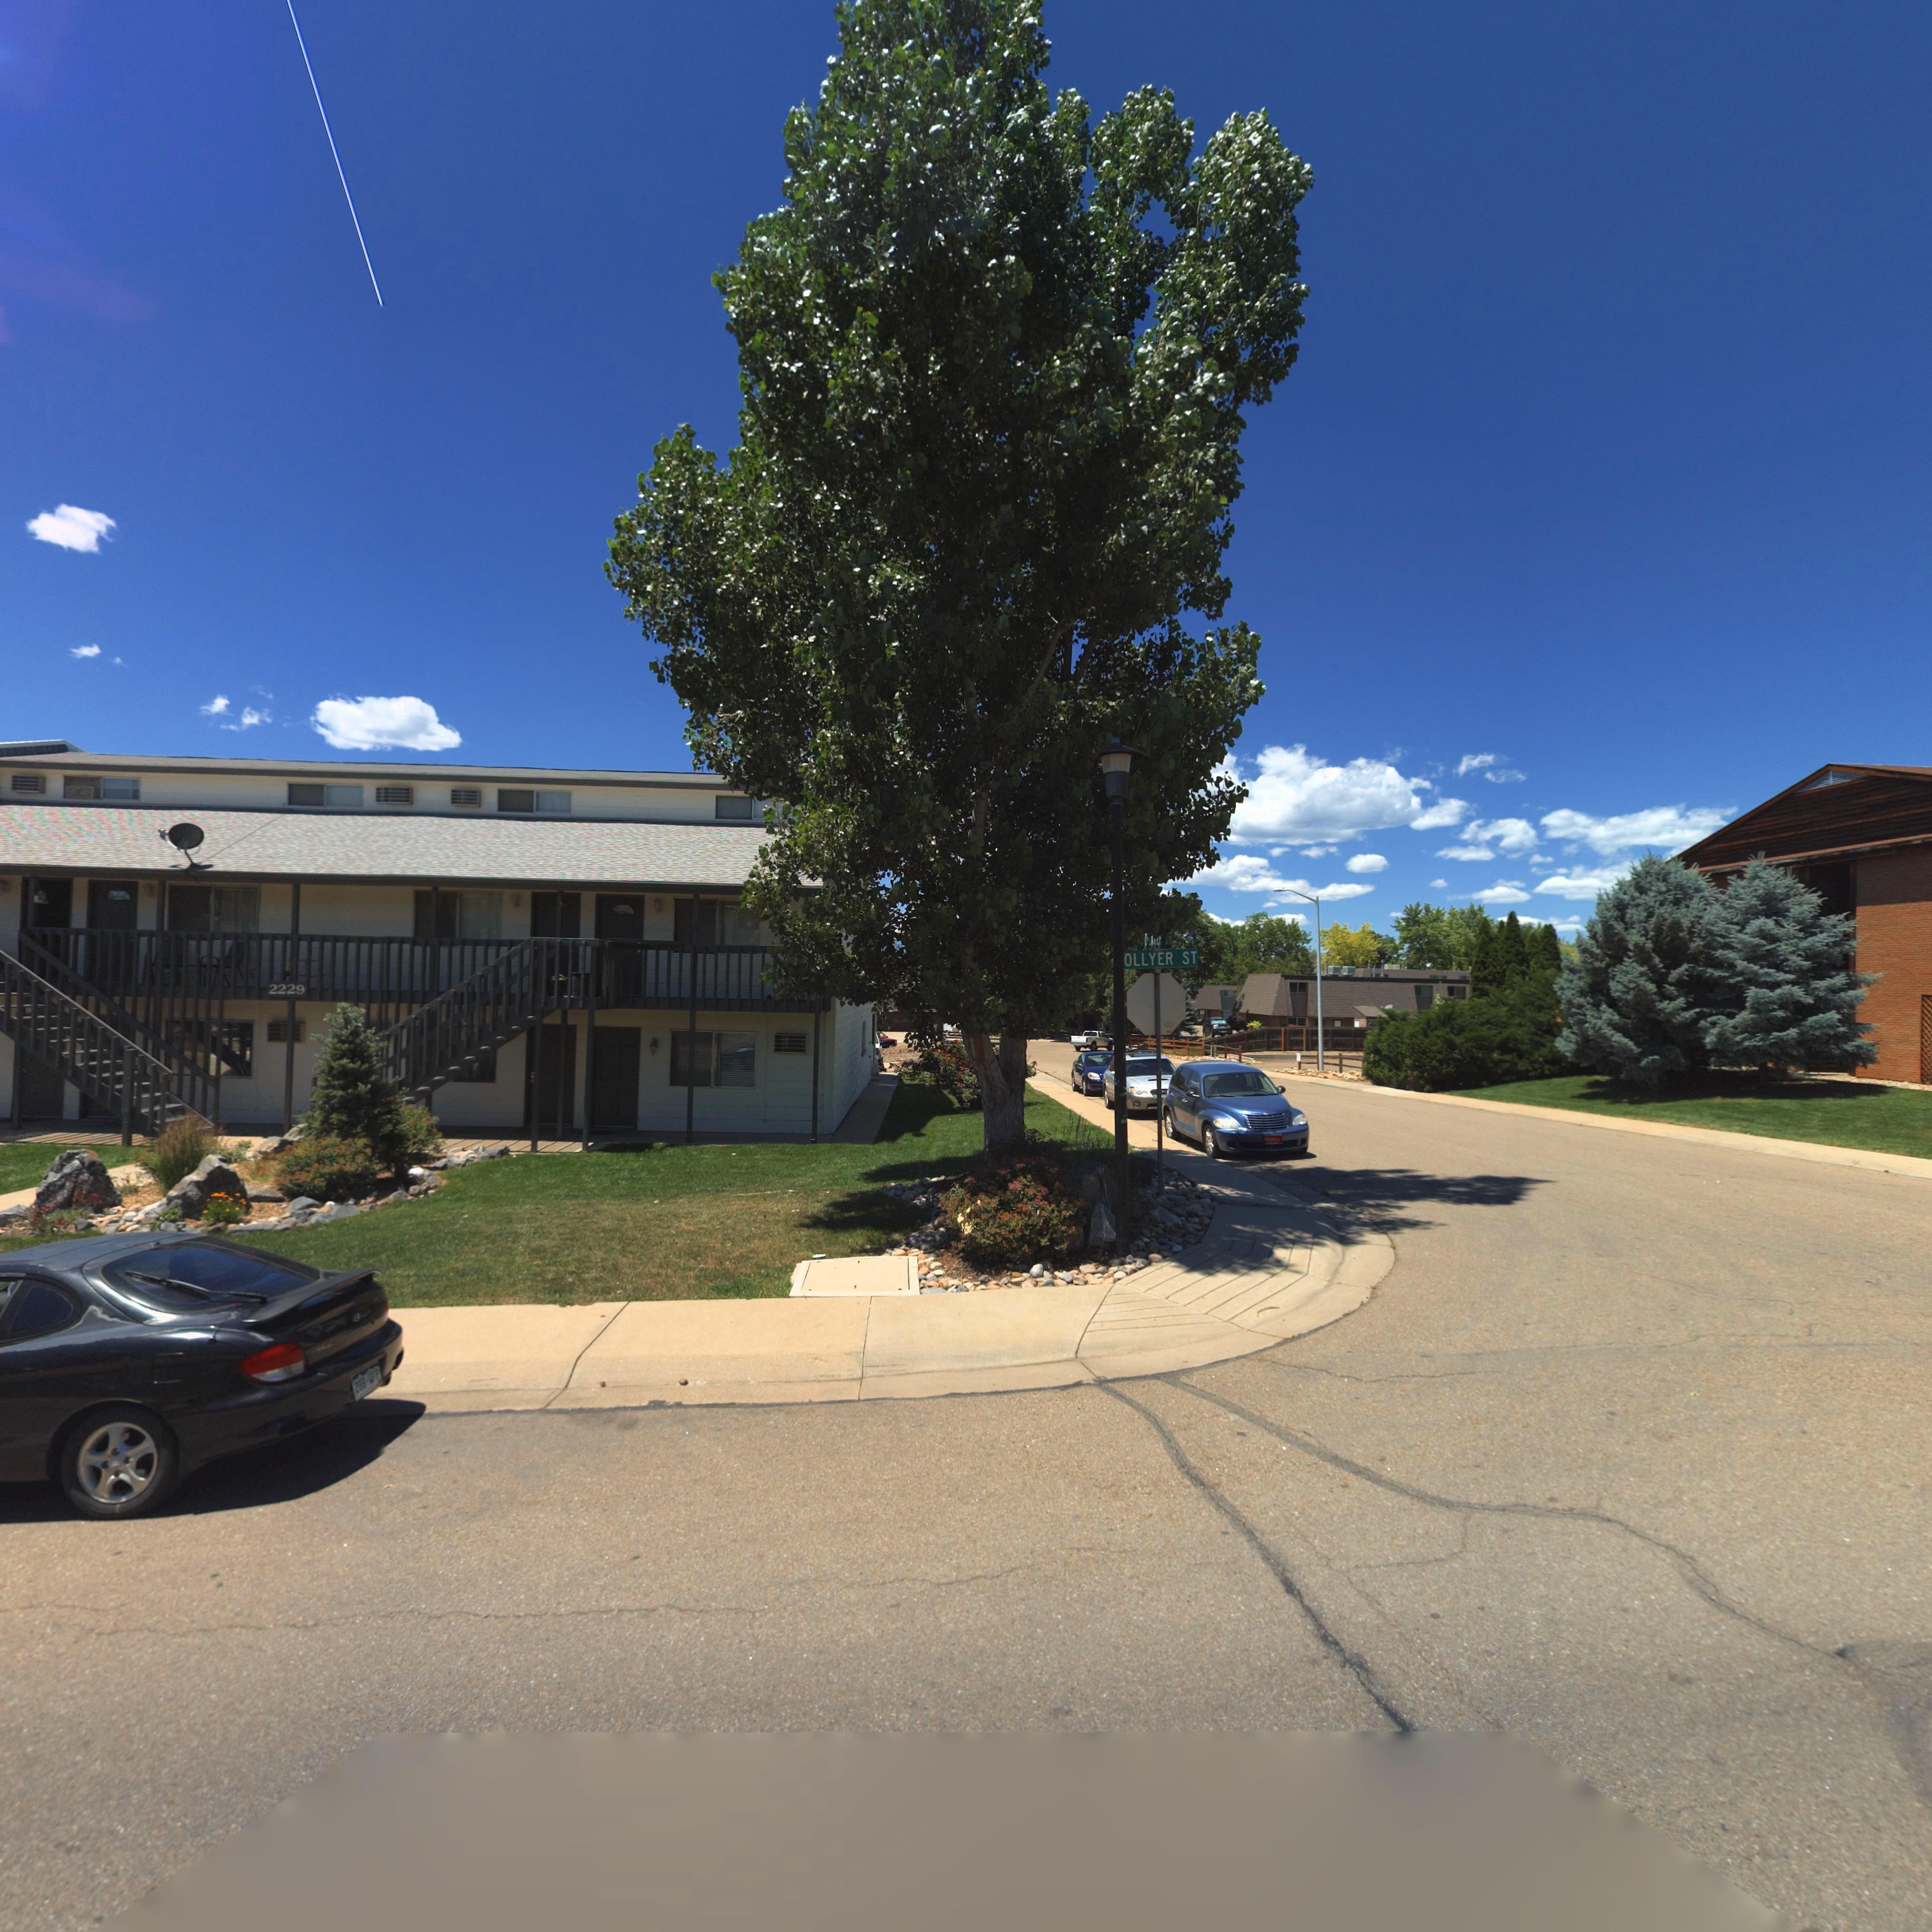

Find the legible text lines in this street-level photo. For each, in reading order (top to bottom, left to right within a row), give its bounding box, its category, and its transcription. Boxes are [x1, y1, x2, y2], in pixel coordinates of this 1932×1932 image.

[1144, 931, 1171, 946] StreetName: D***** DR
[1124, 950, 1198, 967] StreetName: *OLLYER ST
[268, 984, 306, 995] StreetNumber: 2229